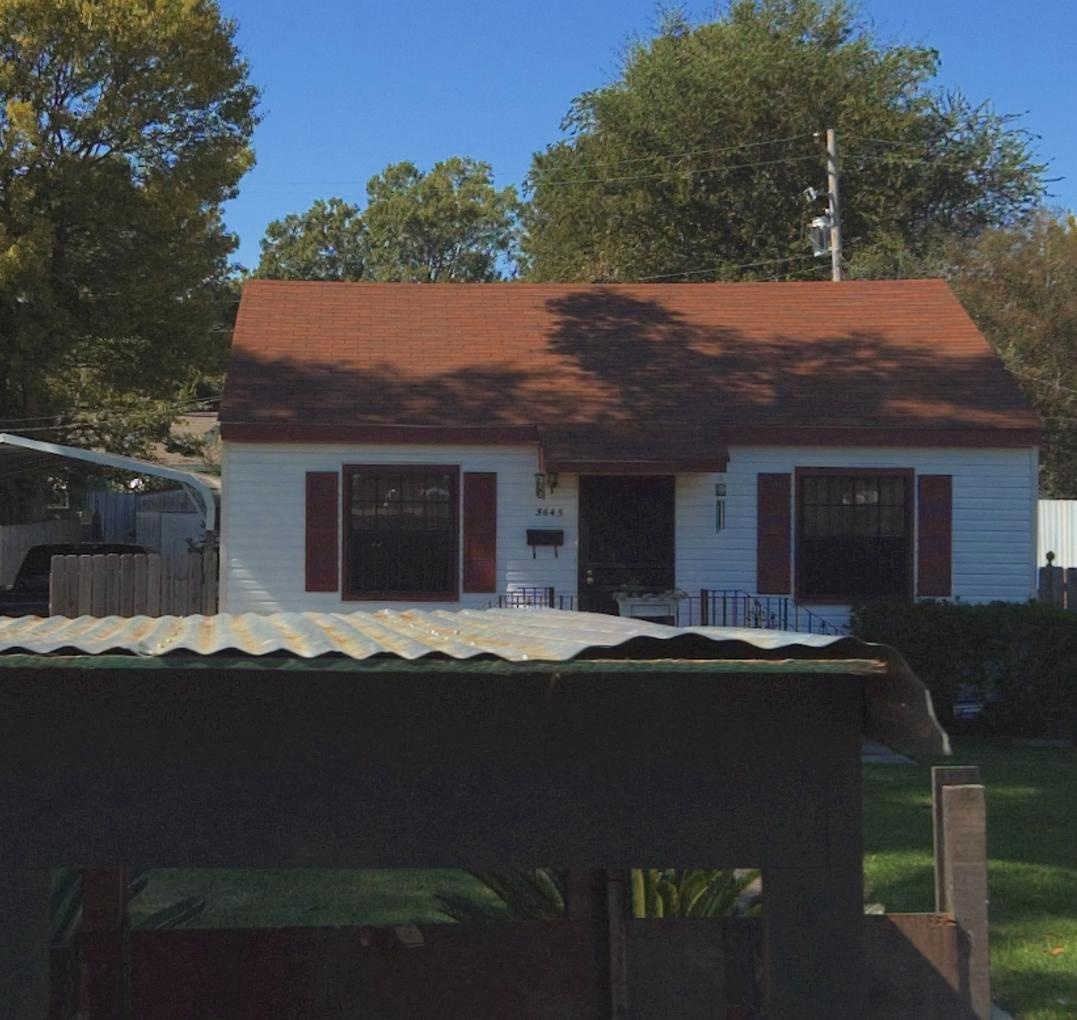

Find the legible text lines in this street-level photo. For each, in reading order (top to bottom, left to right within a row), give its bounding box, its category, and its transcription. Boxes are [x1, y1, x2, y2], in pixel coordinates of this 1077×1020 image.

[535, 507, 565, 518] StreetNumber: 3645